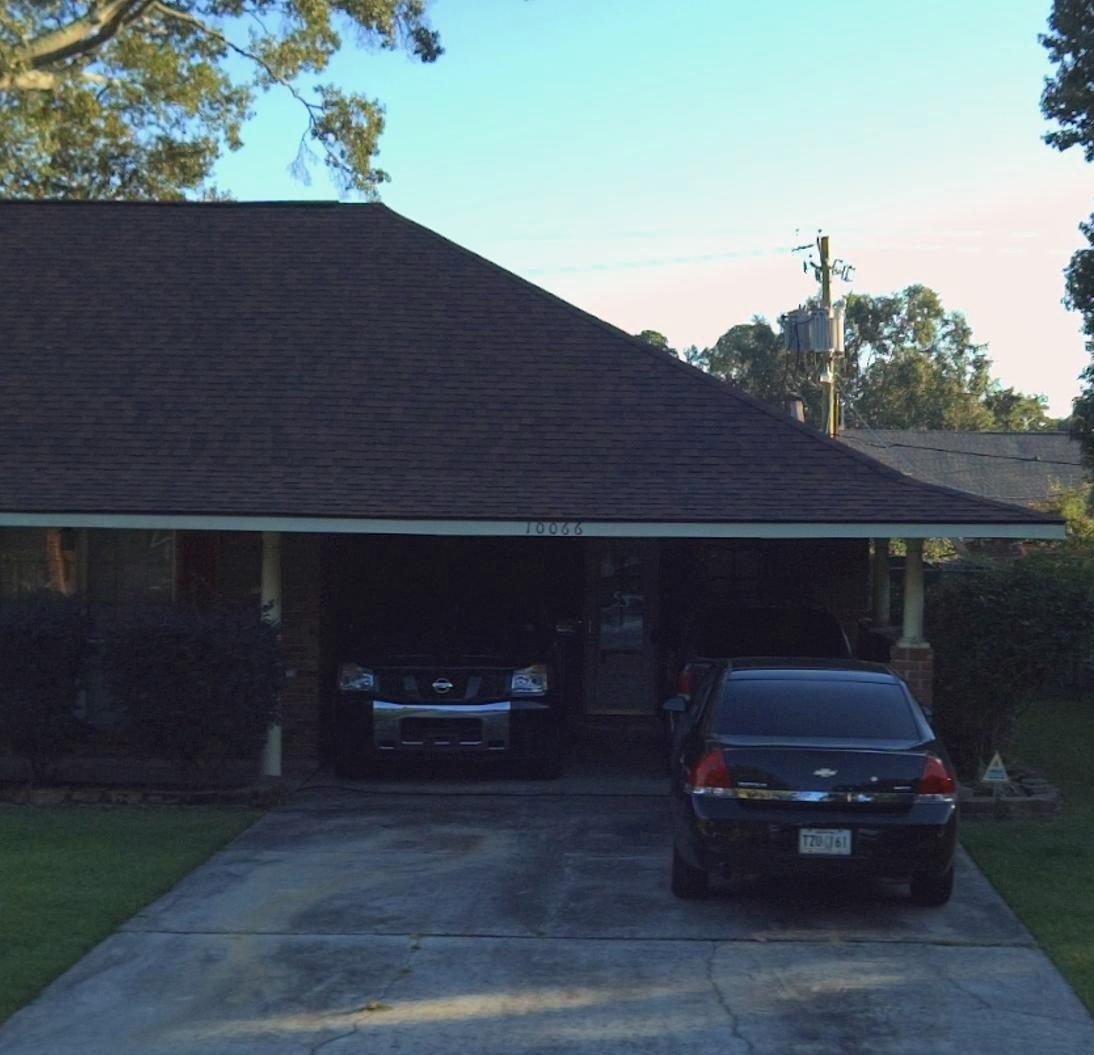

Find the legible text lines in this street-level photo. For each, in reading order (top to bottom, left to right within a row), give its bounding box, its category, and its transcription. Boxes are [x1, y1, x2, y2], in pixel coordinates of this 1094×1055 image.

[524, 520, 585, 536] StreetNumber: 10066
[800, 832, 850, 850] None: TZU*61